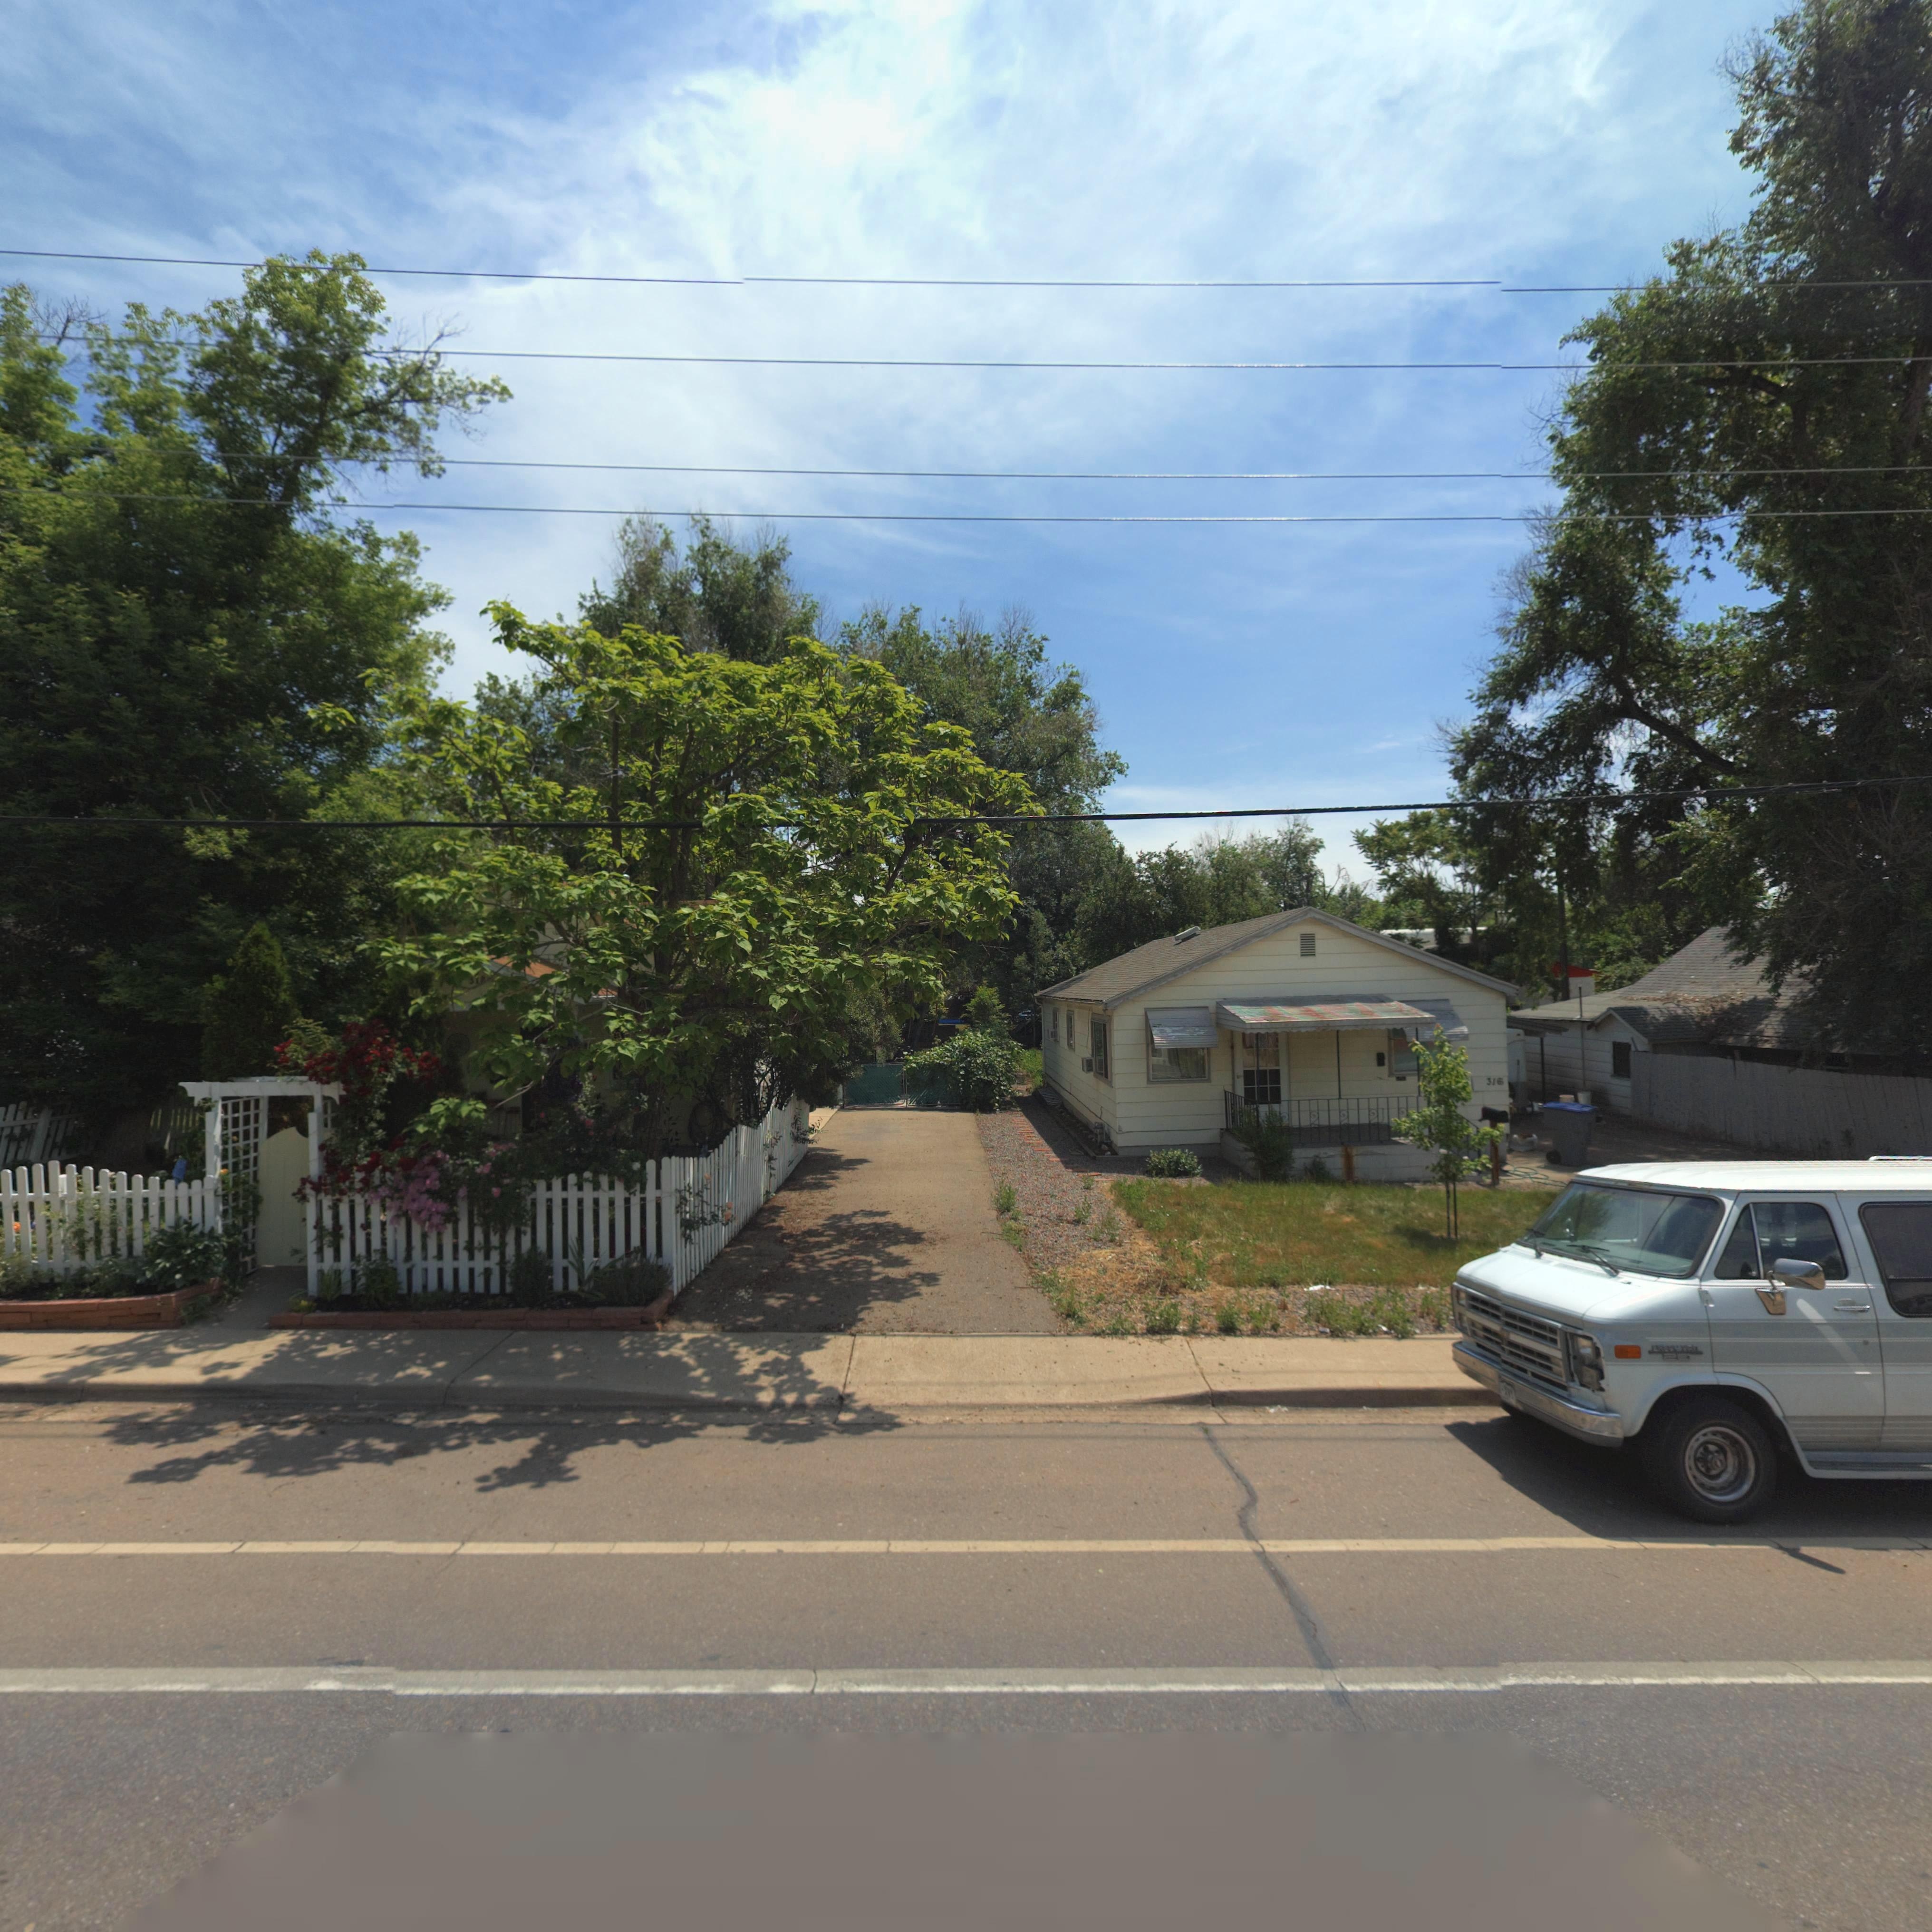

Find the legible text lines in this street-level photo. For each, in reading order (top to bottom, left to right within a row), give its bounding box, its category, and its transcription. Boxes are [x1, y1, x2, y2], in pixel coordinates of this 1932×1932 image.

[1486, 1077, 1503, 1085] StreetNumber: 31*